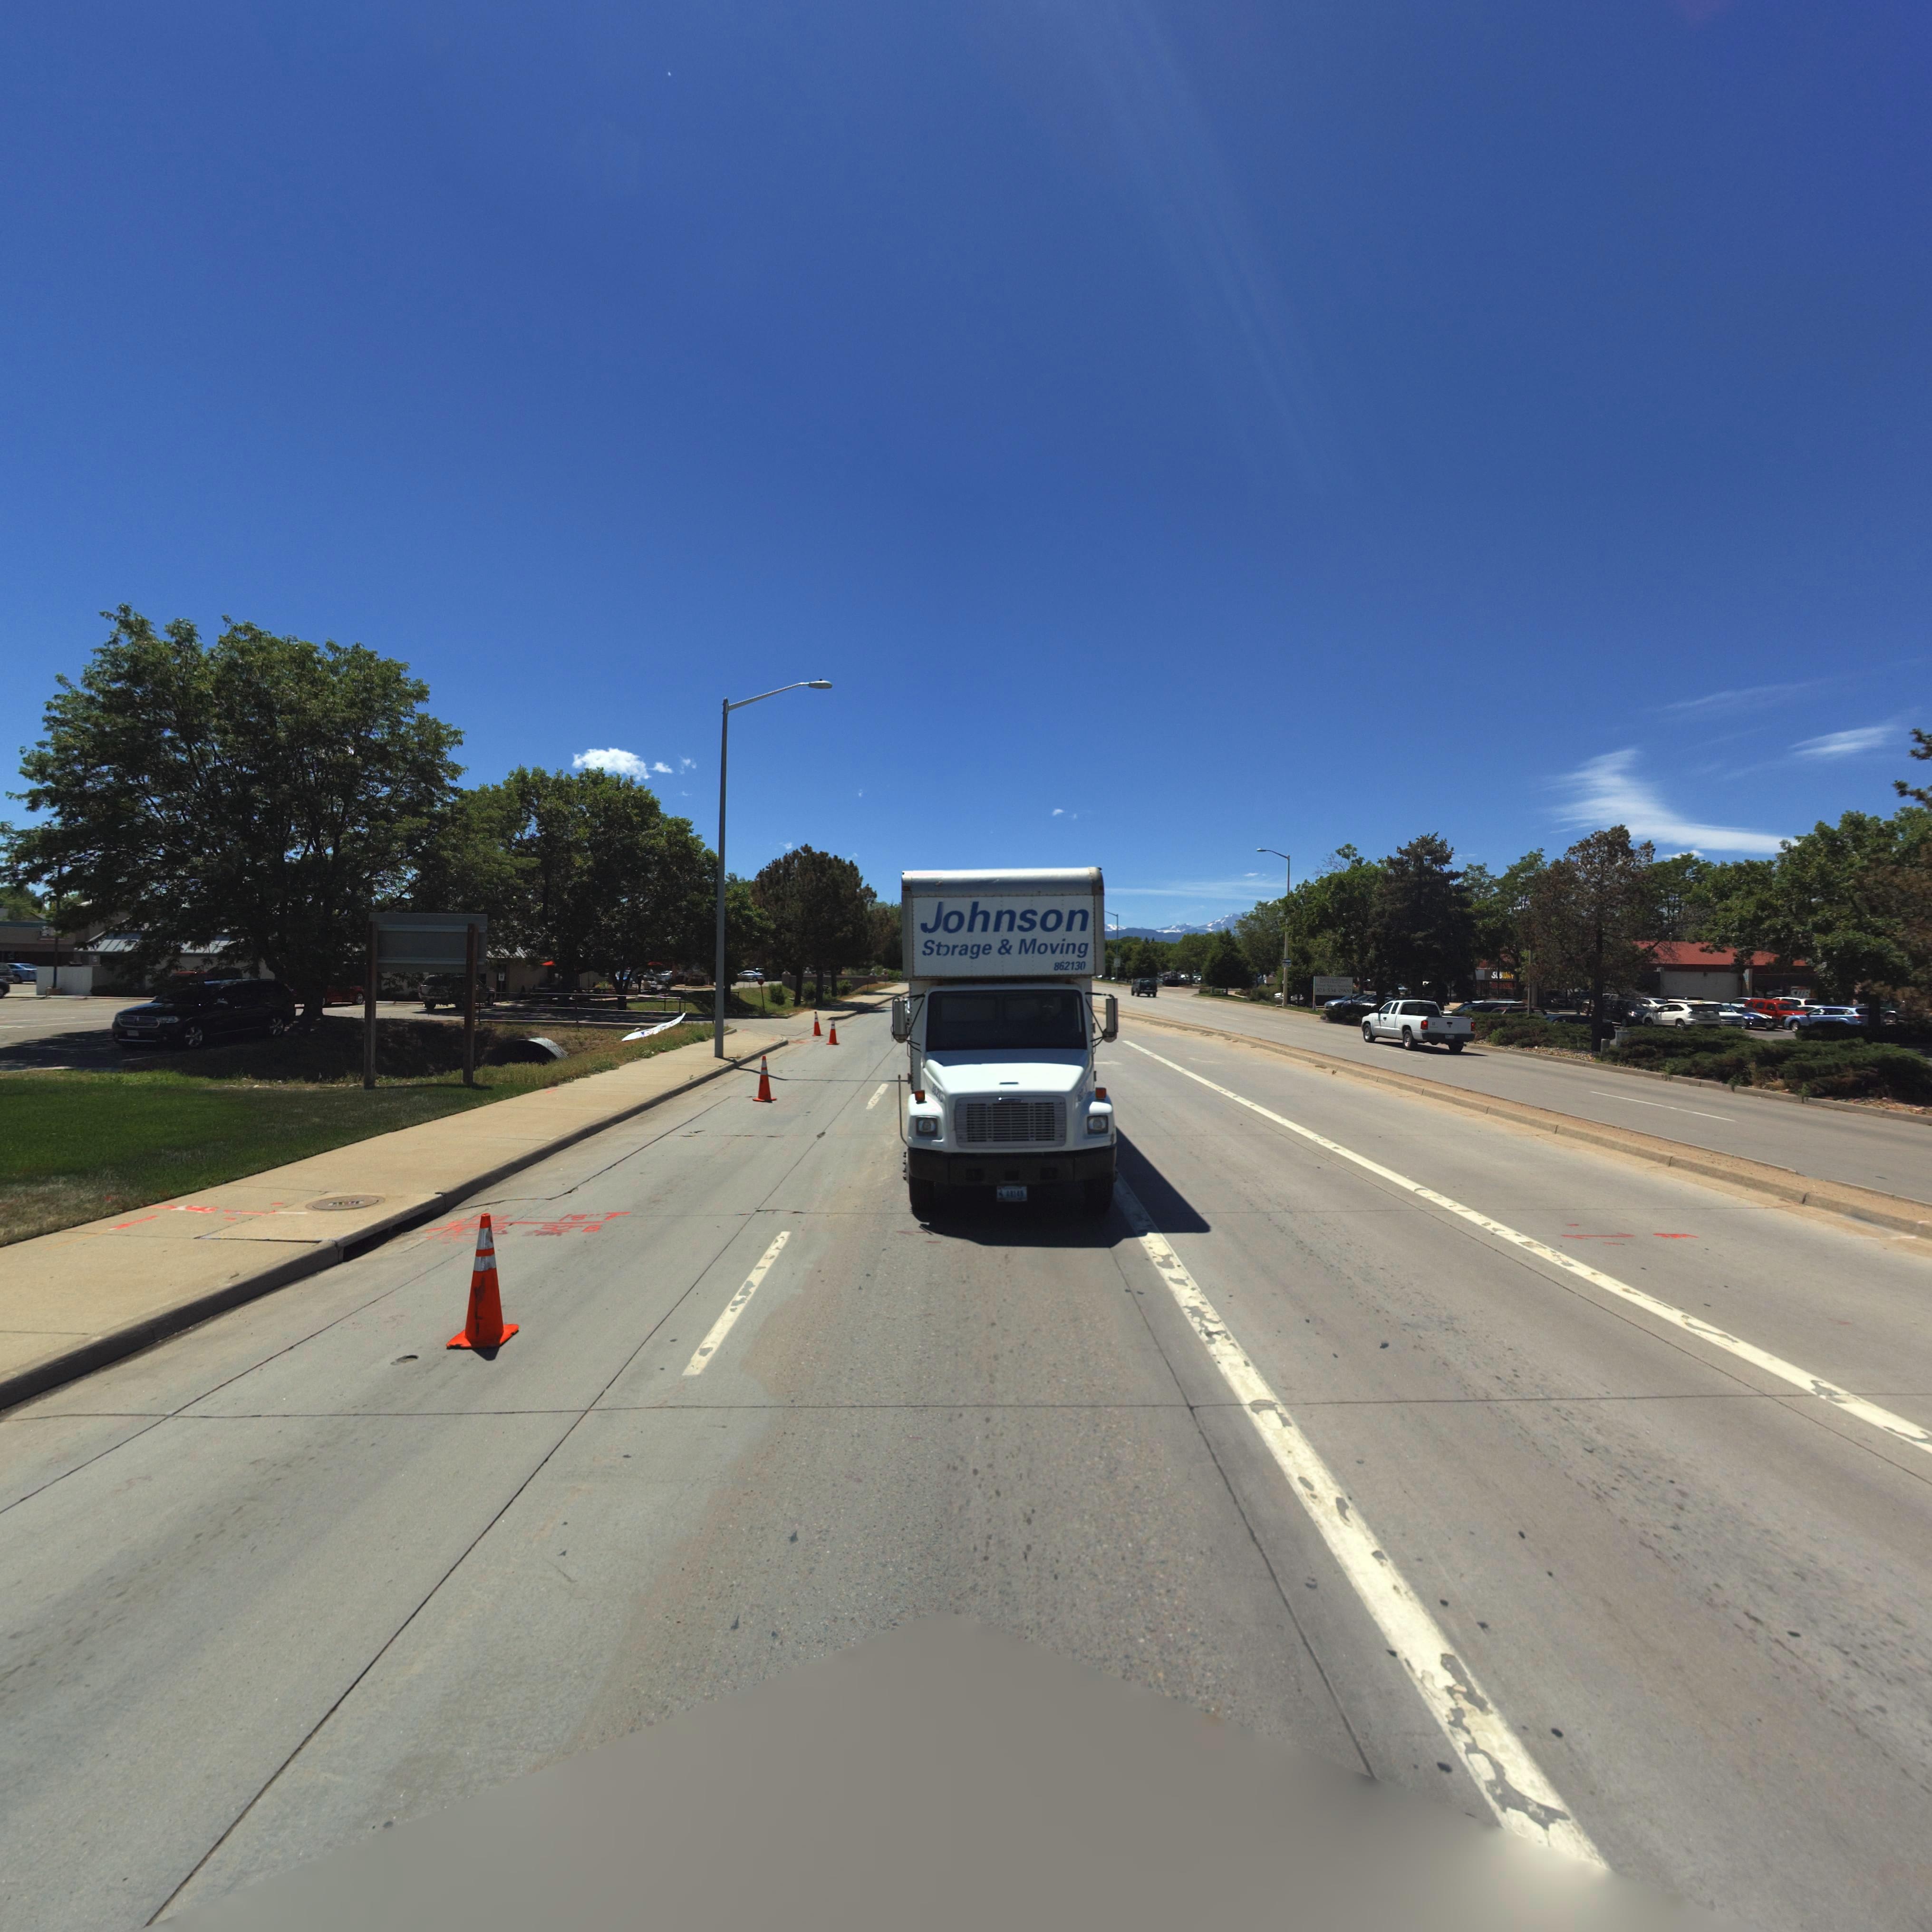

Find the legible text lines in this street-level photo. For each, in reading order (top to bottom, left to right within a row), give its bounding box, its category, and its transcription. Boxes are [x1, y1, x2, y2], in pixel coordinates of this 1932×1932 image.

[1489, 970, 1515, 979] BusinessName: S*BW**
[1786, 989, 1811, 998] BusinessName: SUB